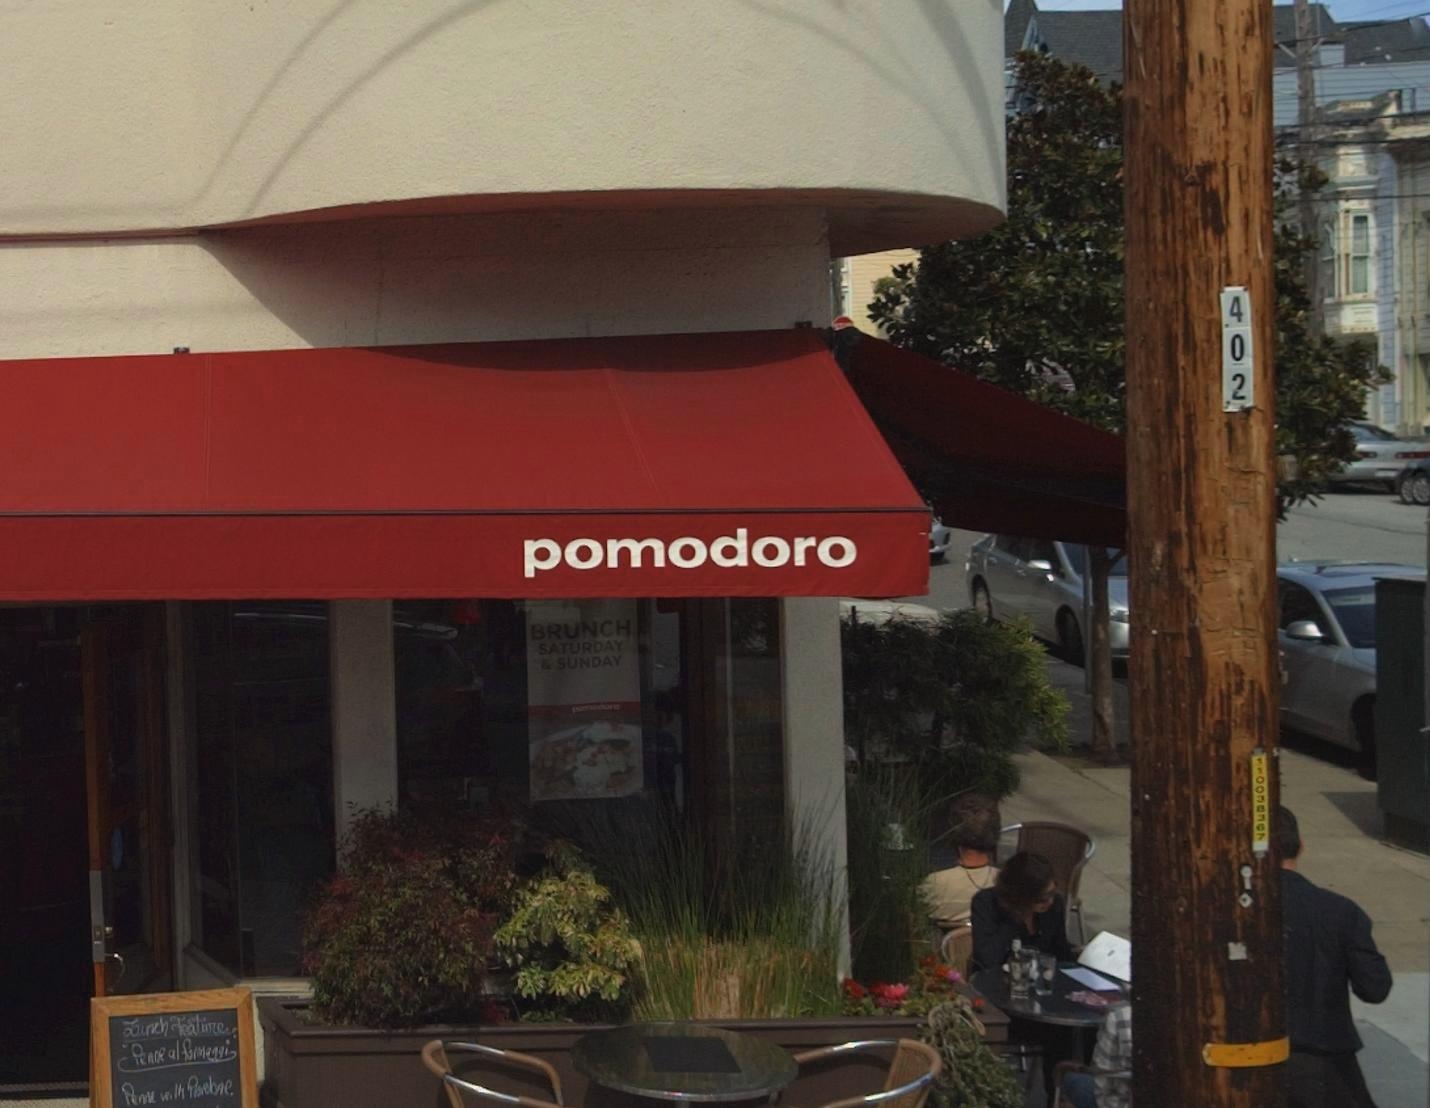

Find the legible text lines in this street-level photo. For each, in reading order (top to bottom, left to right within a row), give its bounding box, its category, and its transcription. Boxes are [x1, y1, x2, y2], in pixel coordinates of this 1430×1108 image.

[1230, 295, 1247, 403] None: 402
[521, 526, 857, 580] BusinessName: pomodoro
[530, 618, 632, 640] None: BRUNCH
[538, 639, 625, 655] None: SATURDAY
[540, 654, 624, 671] None: & SUNDAY
[1254, 755, 1266, 843] None: 110038367
[120, 1014, 229, 1039] None: Lunch Feature